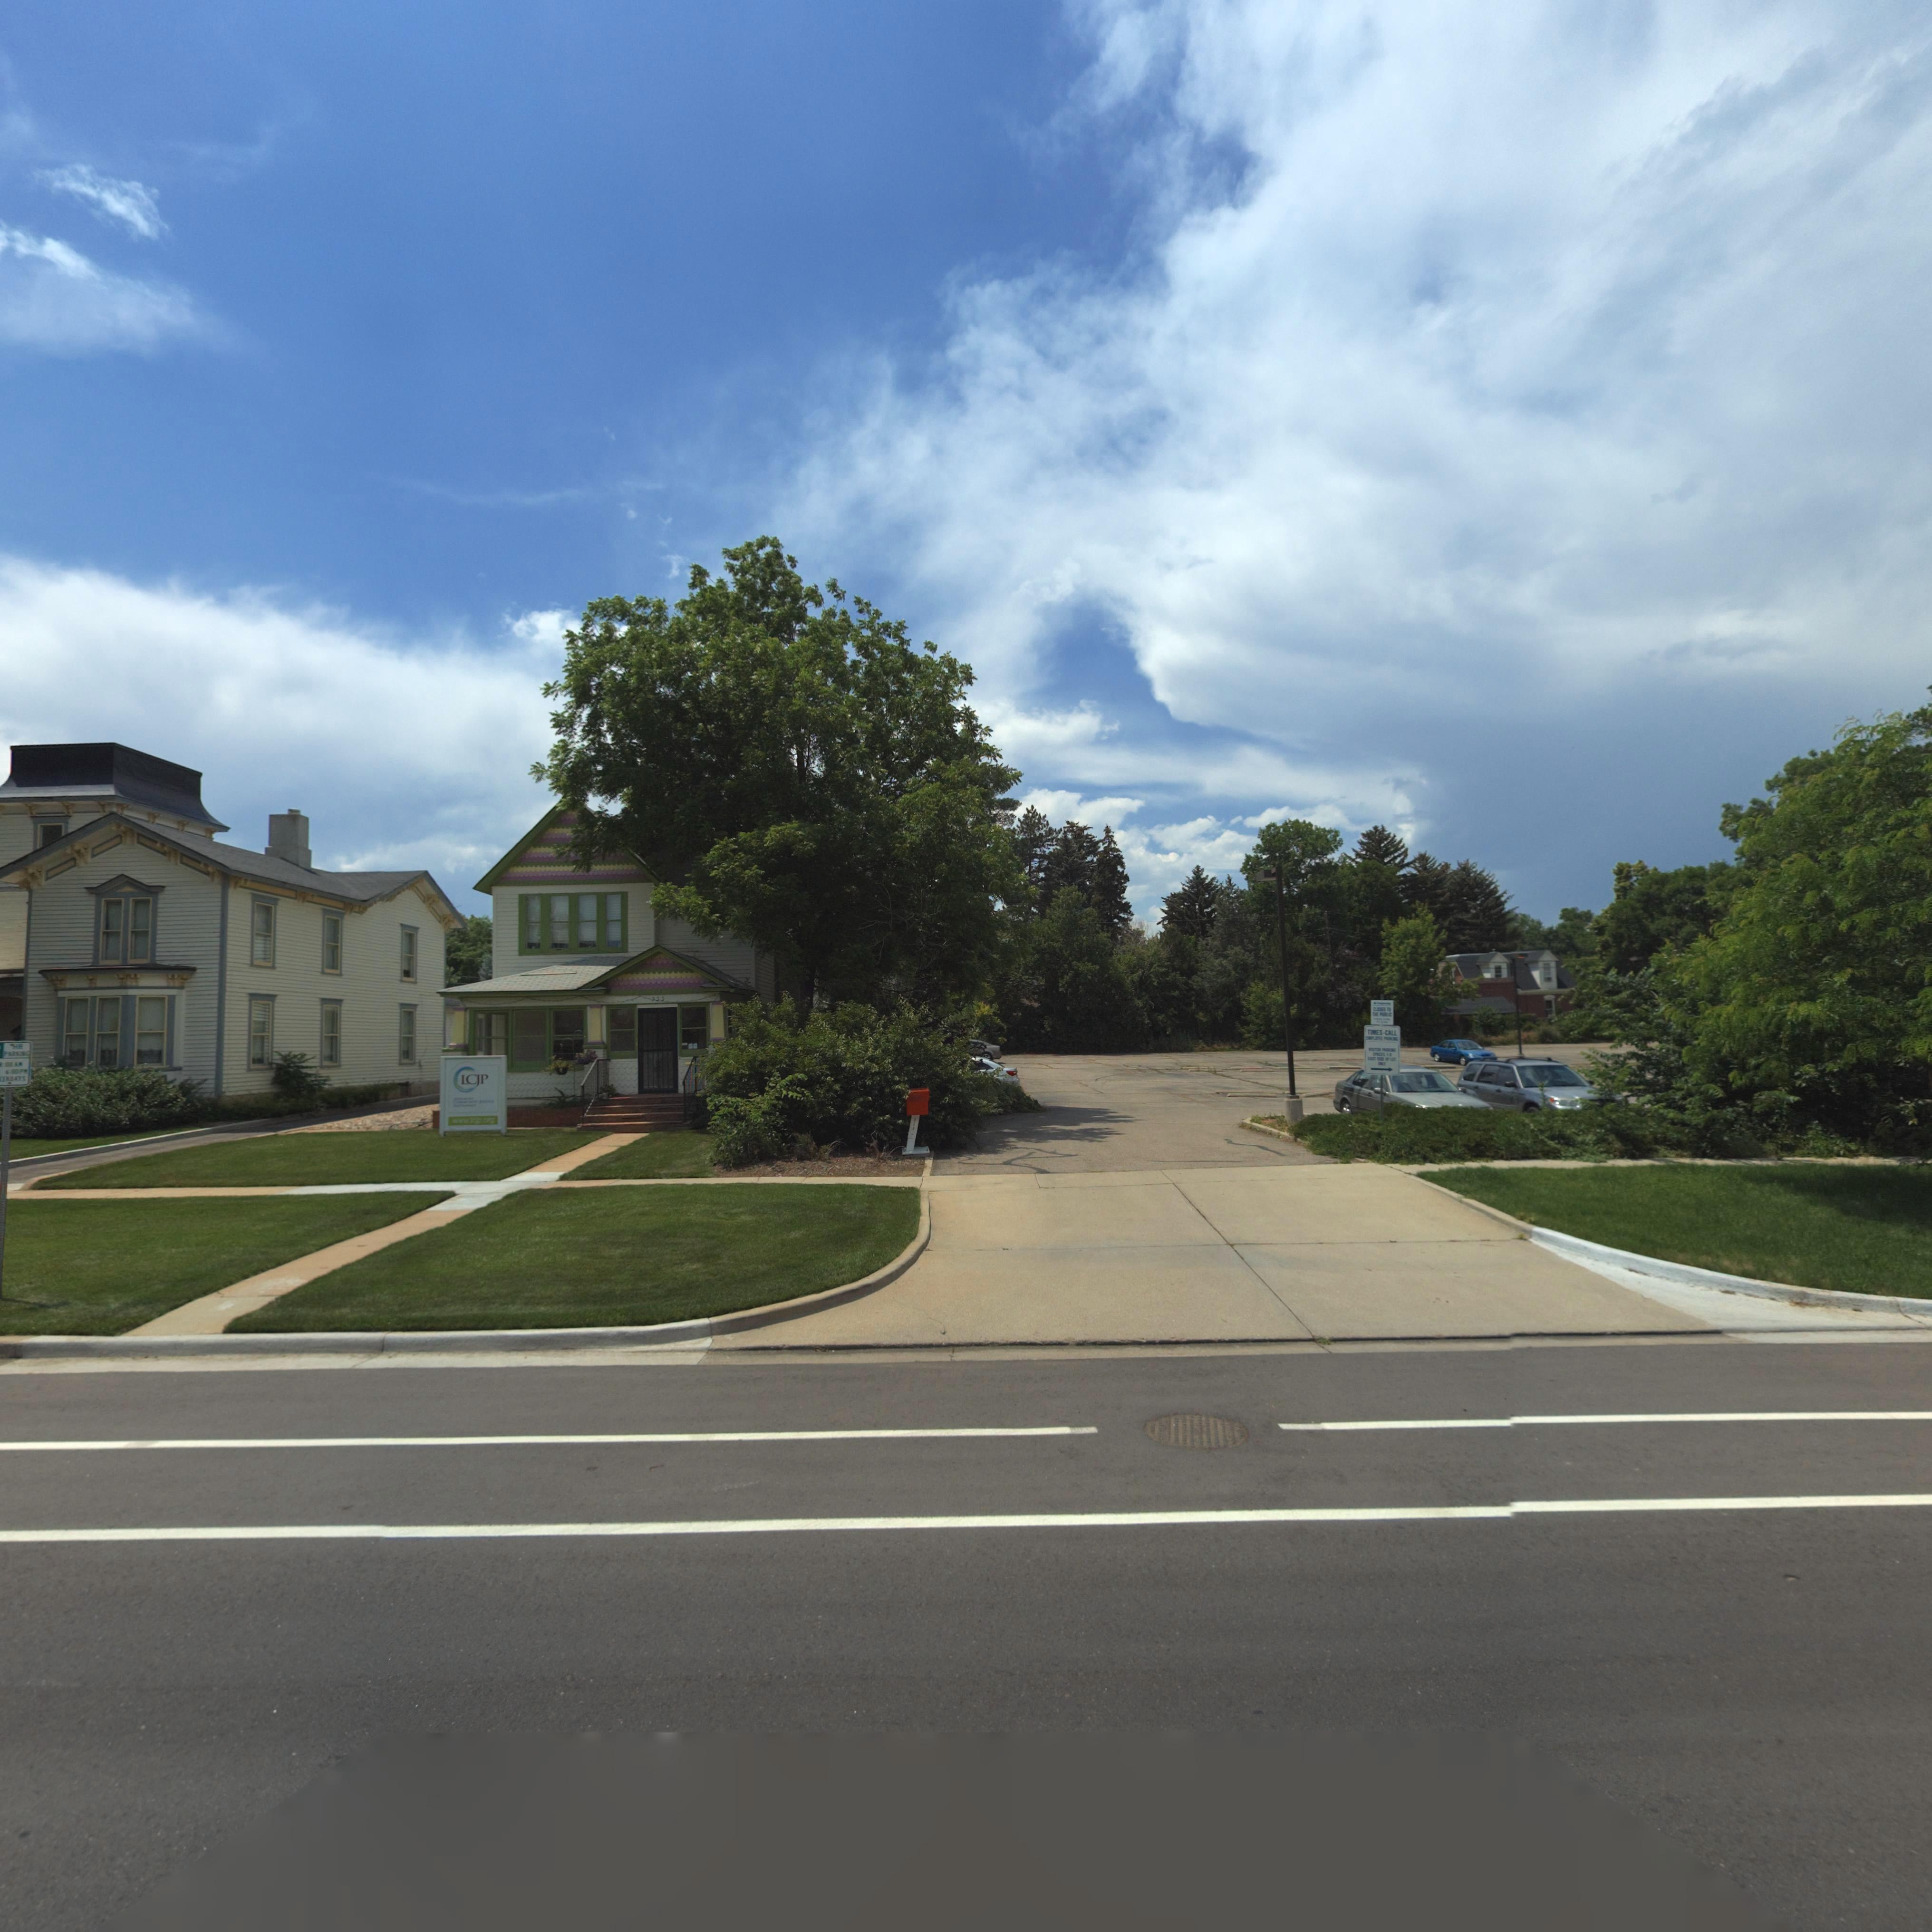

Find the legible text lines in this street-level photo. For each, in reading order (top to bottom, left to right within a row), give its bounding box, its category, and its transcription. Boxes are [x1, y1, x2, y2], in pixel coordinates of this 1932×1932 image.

[651, 996, 664, 1002] StreetNumber: 333
[461, 1073, 489, 1087] BusinessName: LCJP